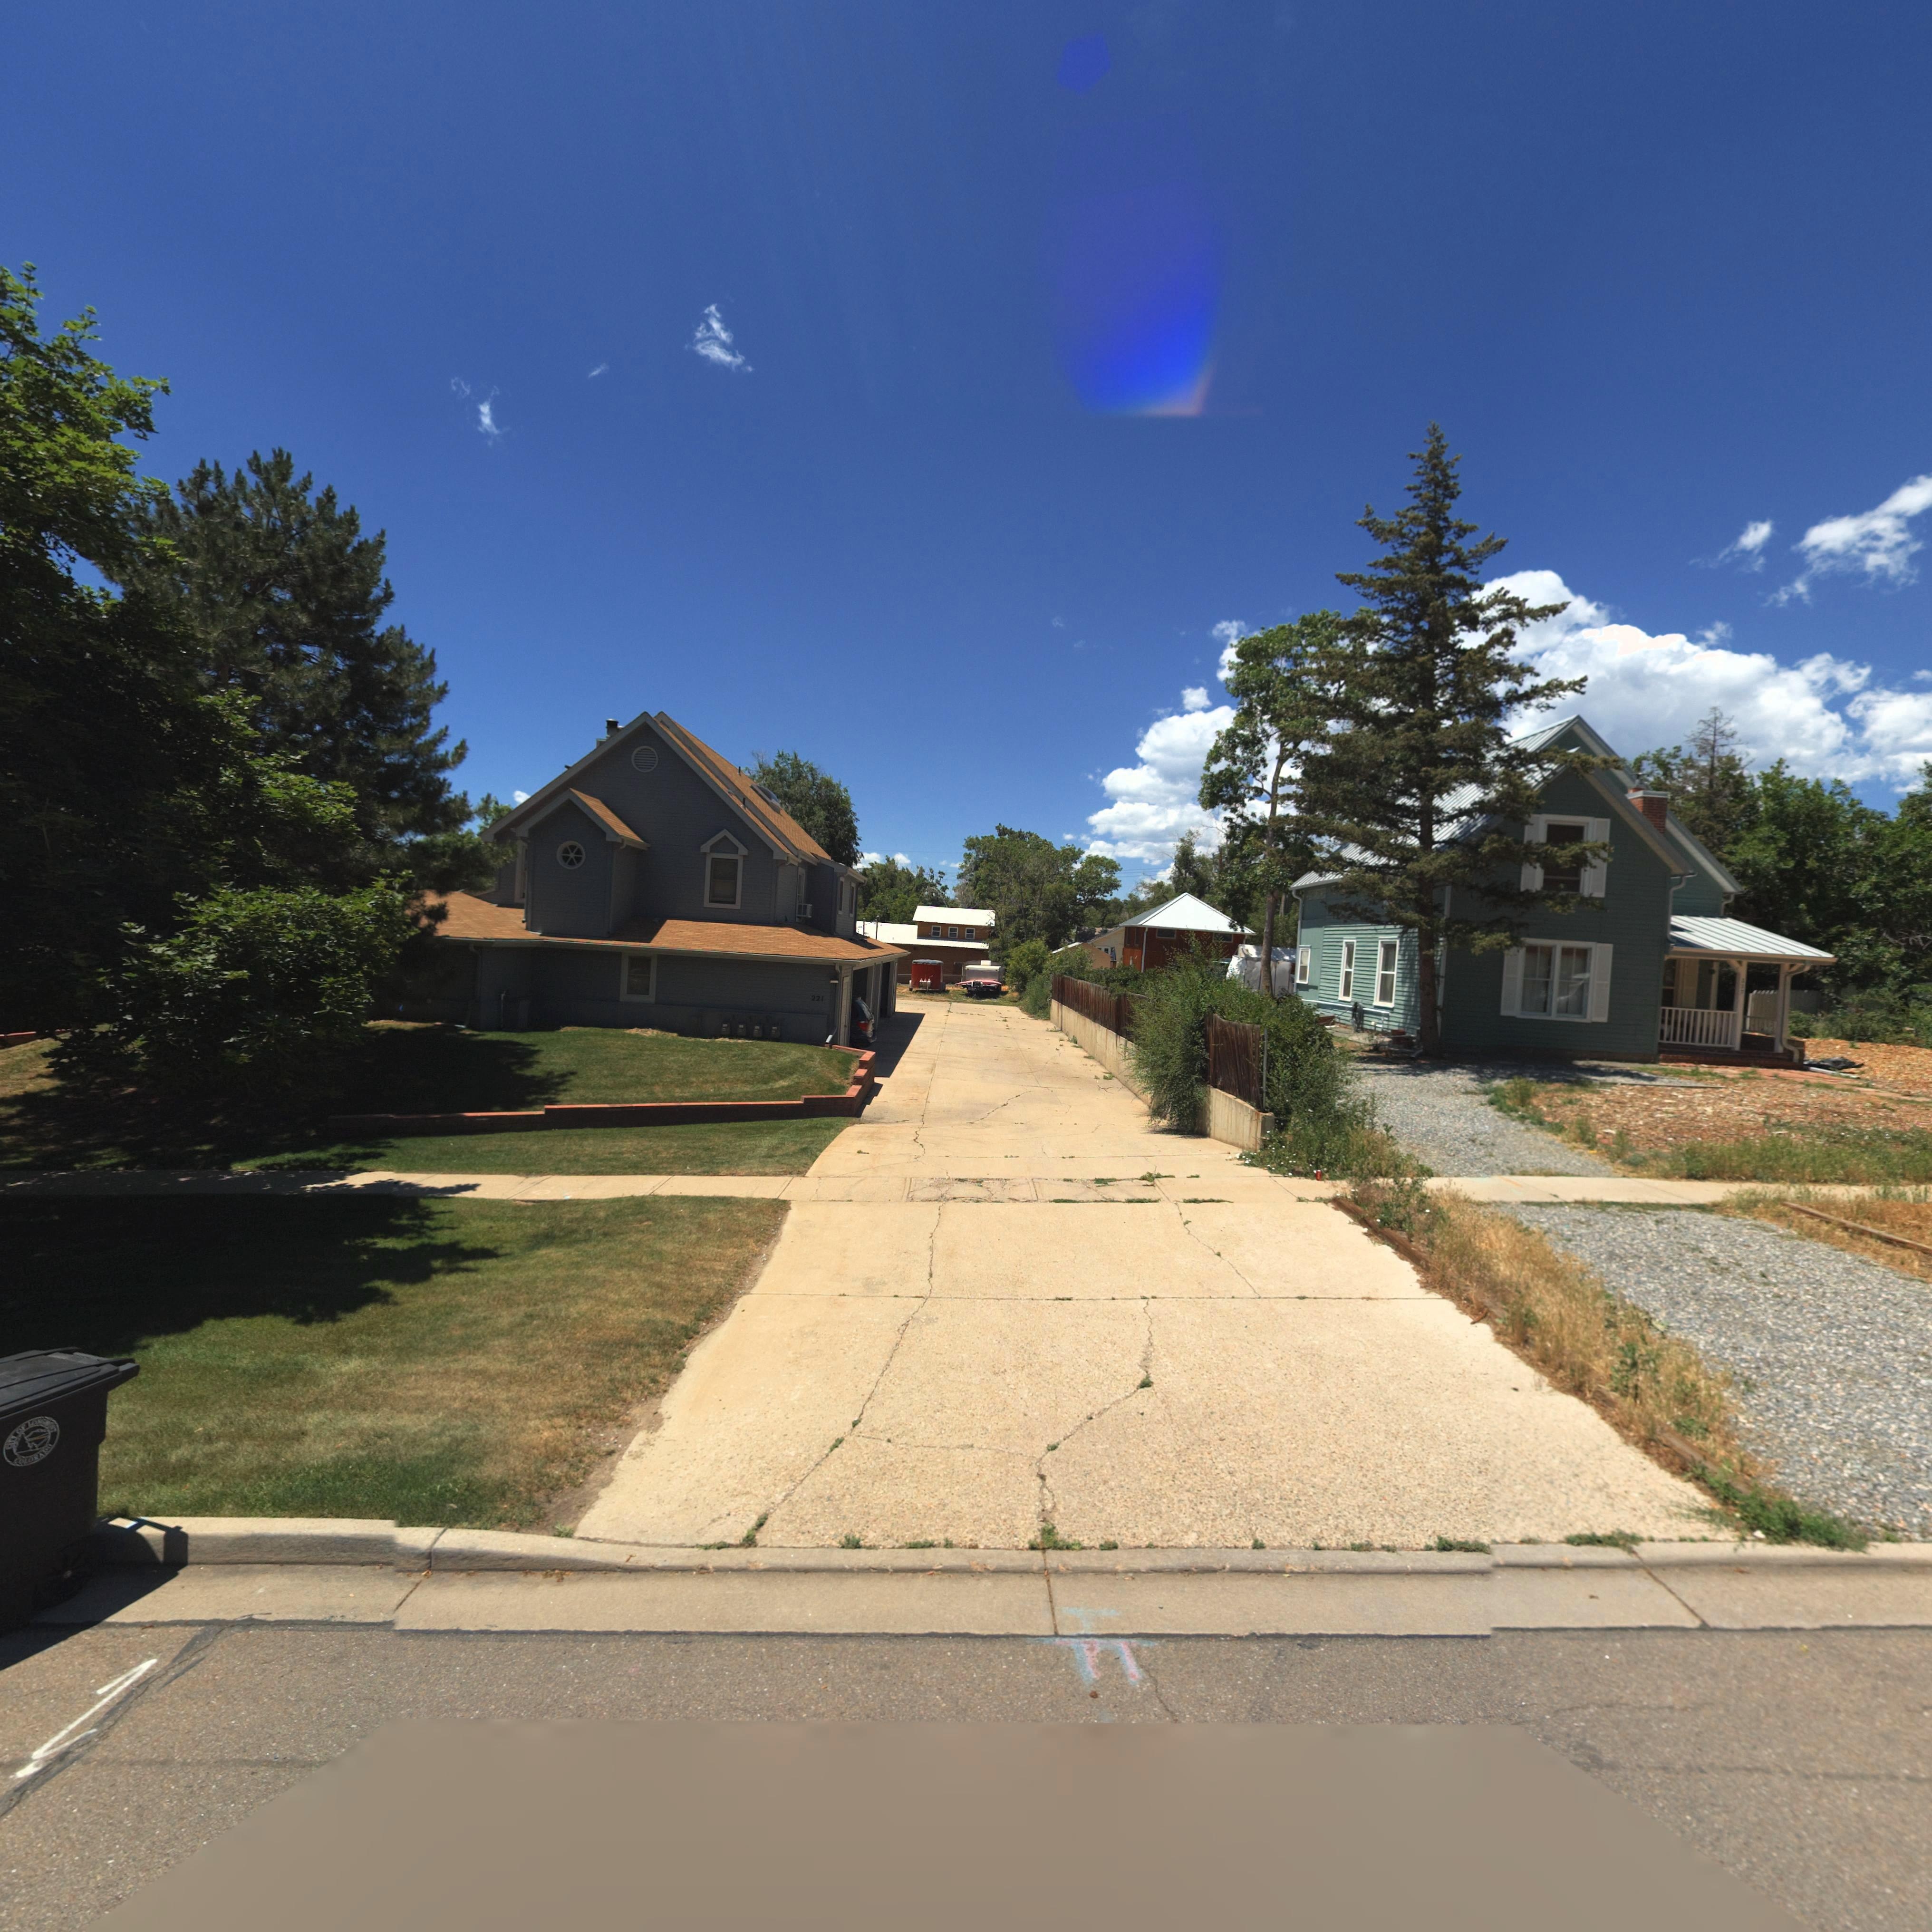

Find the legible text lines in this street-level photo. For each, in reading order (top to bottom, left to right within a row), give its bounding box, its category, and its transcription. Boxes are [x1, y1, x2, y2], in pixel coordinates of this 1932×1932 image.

[1740, 977, 1745, 994] StreetNumber: 227
[811, 995, 824, 1002] StreetNumber: 221